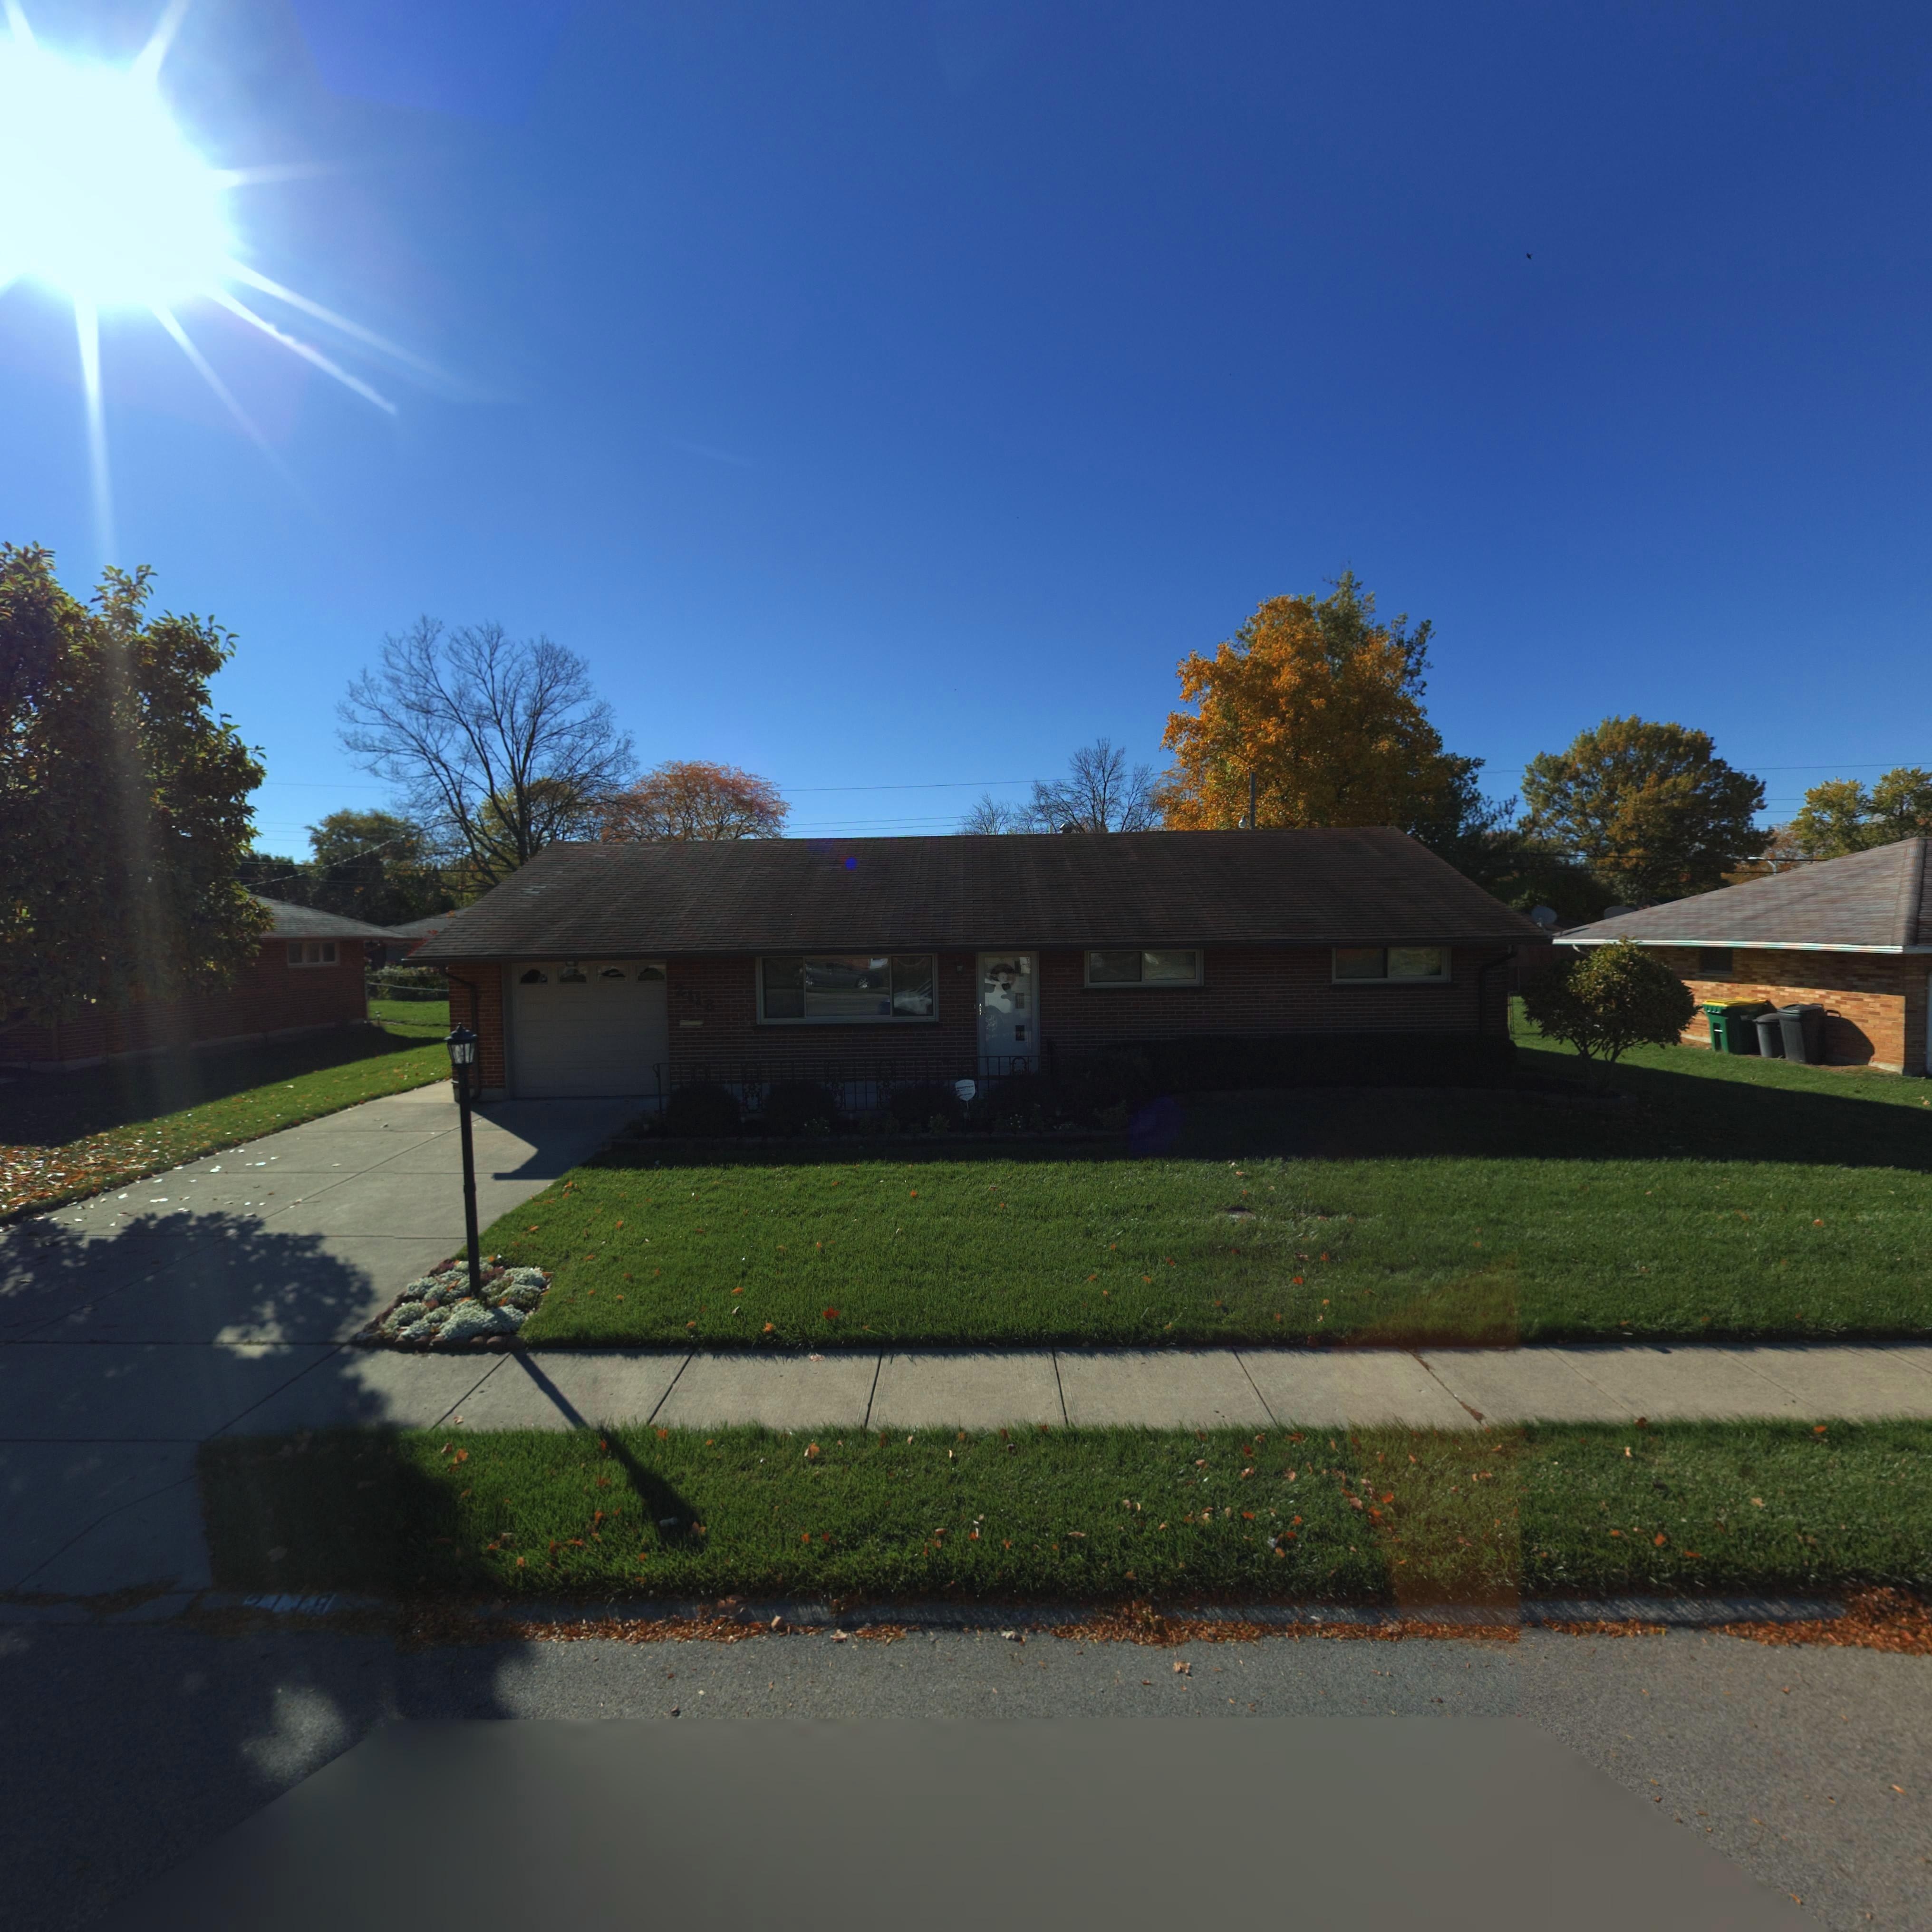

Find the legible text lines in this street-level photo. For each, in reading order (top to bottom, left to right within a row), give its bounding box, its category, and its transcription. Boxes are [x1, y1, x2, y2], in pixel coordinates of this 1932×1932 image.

[672, 984, 717, 1012] StreetNumber: 2118